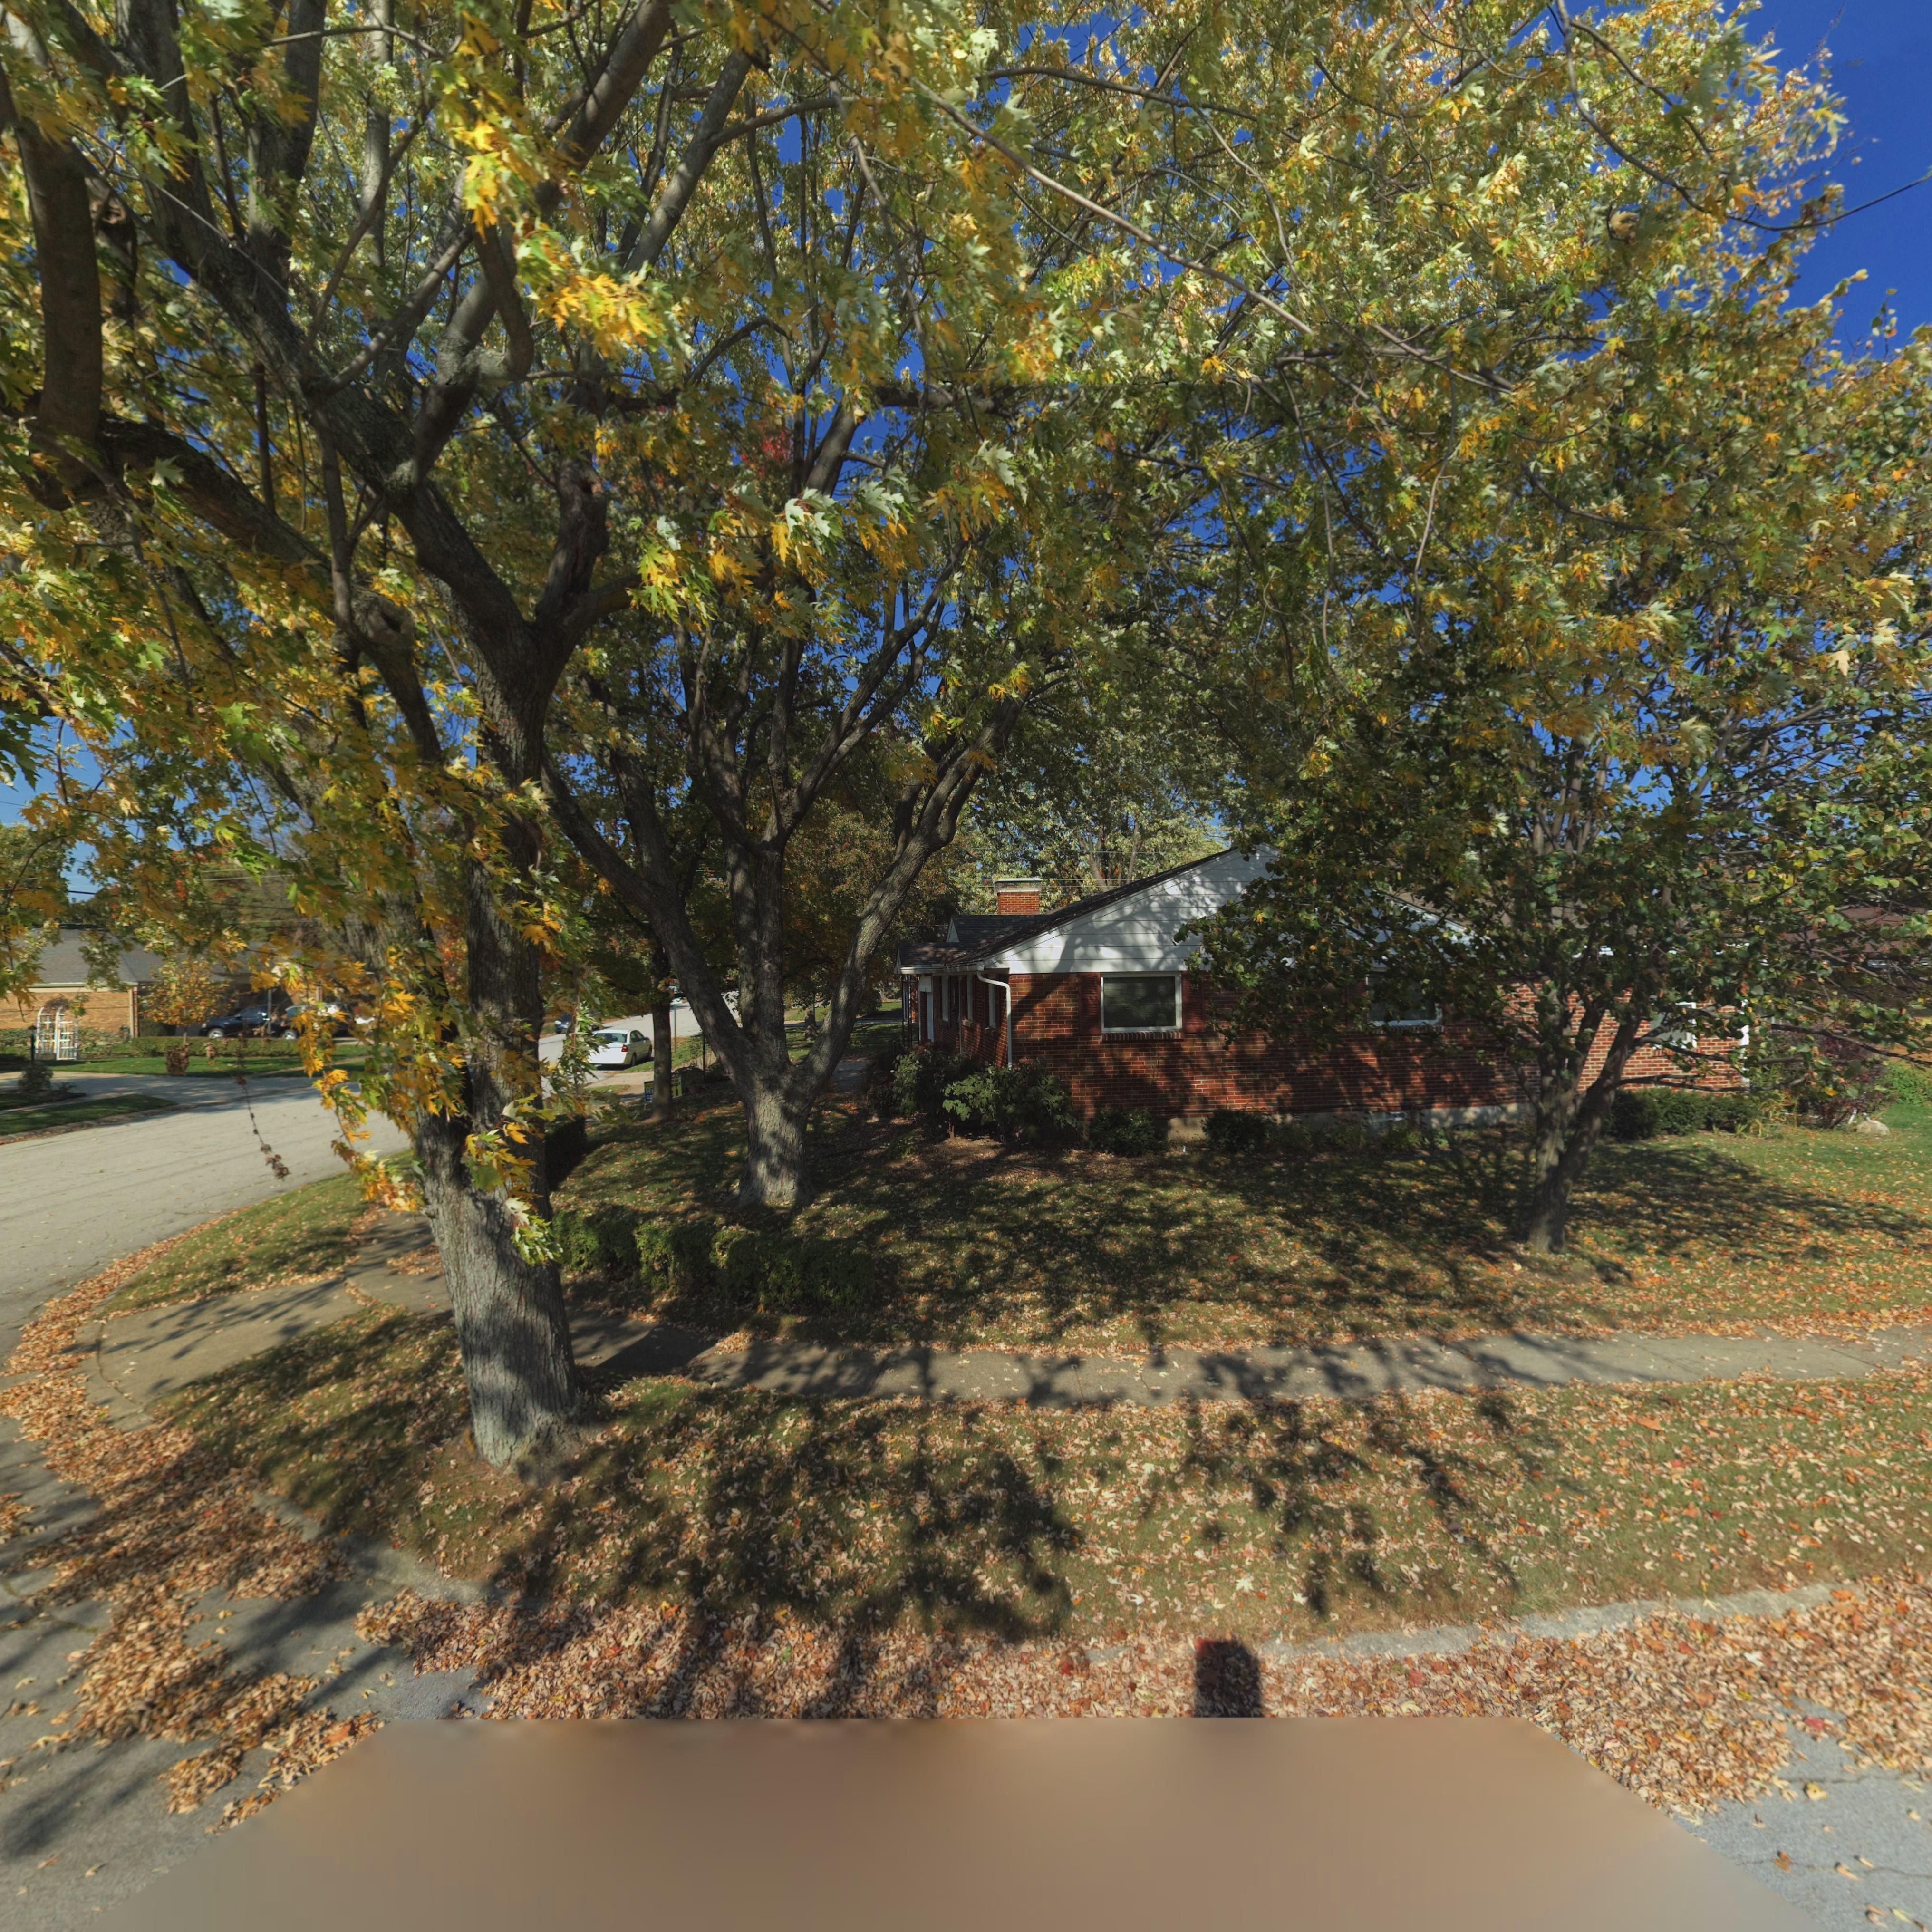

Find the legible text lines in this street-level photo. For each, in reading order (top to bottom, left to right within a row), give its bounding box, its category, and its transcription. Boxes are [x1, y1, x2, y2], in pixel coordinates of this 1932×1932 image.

[672, 1077, 680, 1083] None: CAL
[645, 1082, 653, 1088] None: PRO
[646, 1087, 651, 1094] None: H
[671, 1083, 683, 1100] None: 11